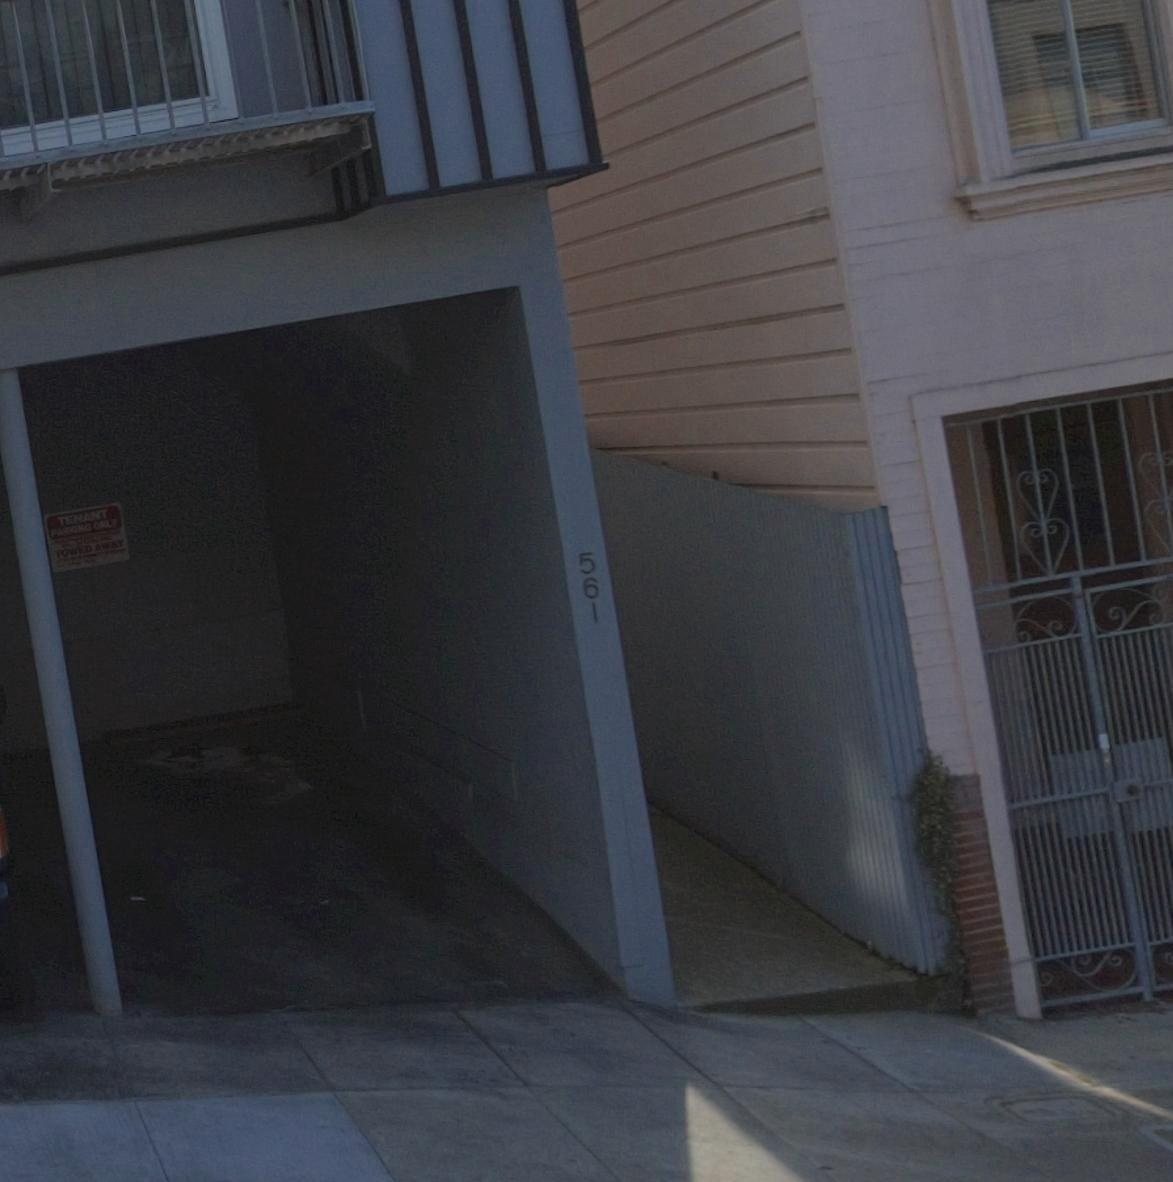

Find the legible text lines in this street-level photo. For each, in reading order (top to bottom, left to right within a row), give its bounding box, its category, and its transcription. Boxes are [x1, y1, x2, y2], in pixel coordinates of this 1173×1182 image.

[56, 507, 109, 528] None: TENANT
[49, 517, 118, 539] None: PARKING ONLY
[51, 538, 125, 560] None: TOWED AWAY
[575, 550, 605, 627] StreetNumber: 561